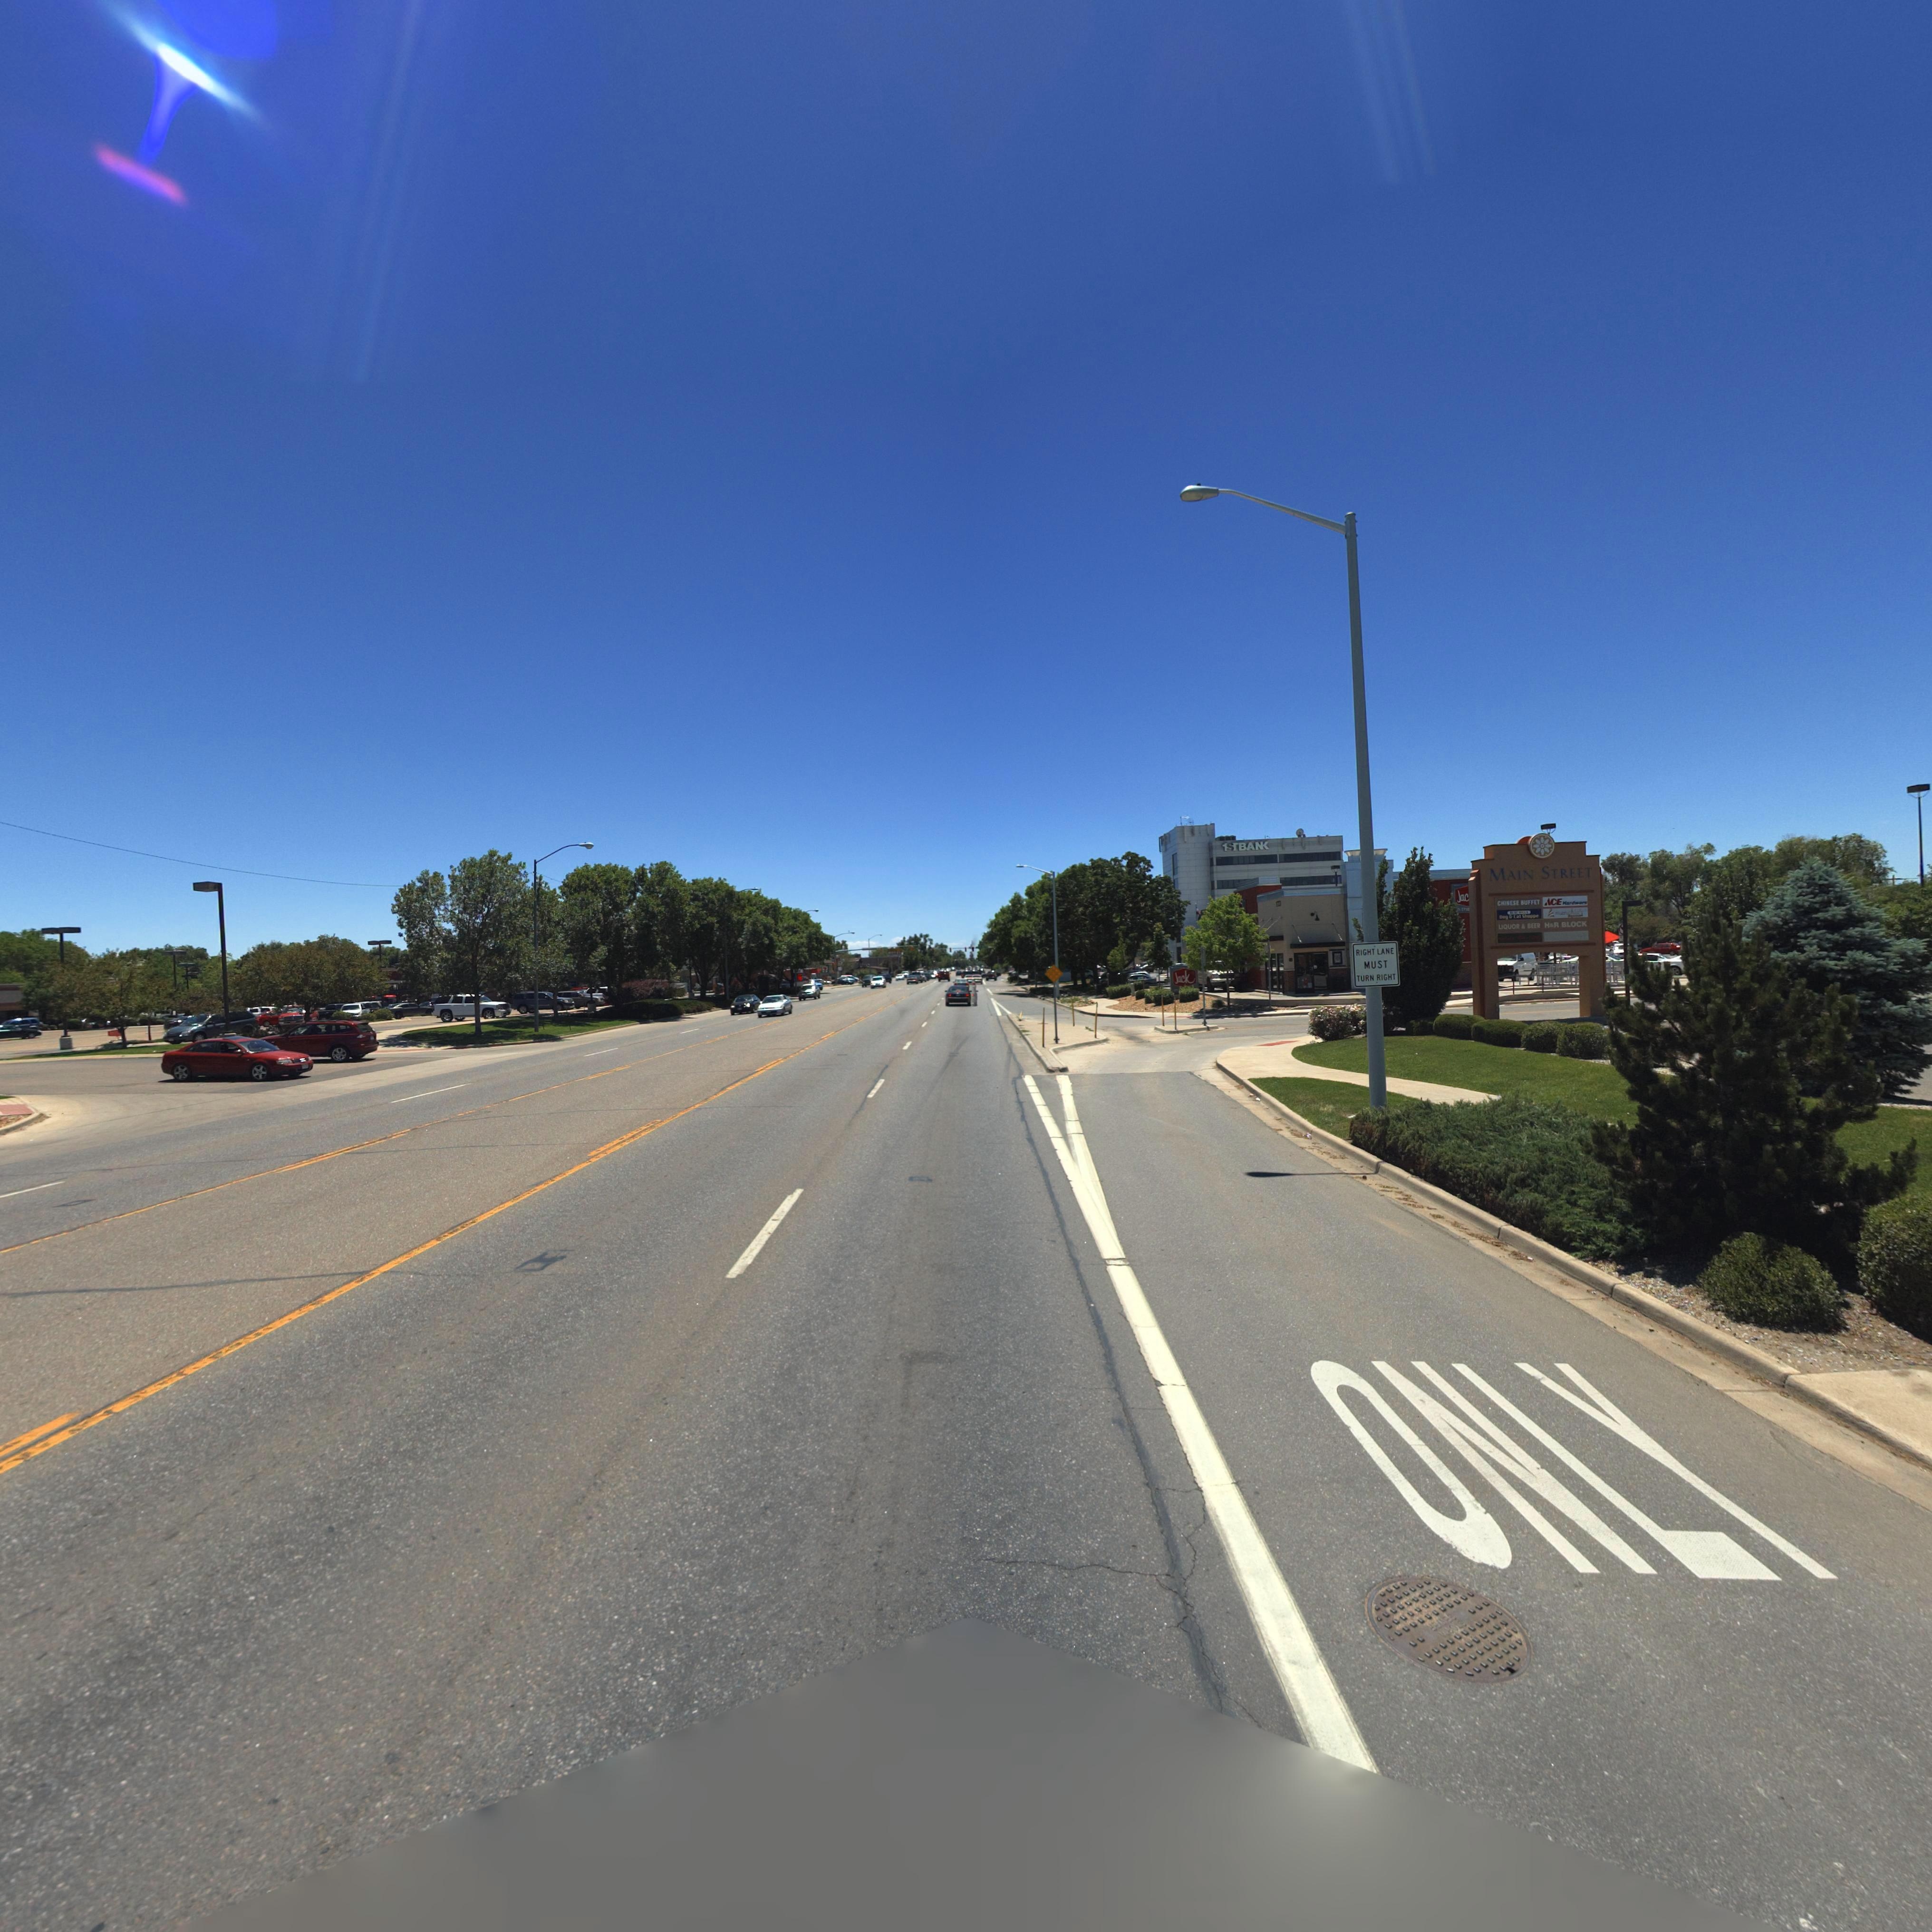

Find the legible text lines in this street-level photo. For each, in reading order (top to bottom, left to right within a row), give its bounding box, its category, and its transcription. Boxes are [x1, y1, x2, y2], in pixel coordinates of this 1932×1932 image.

[1222, 840, 1270, 852] BusinessName: 1S* BA*K
[1456, 889, 1469, 903] BusinessName: Jac
[1497, 899, 1540, 907] BusinessName: CHINESE BUFFET
[1544, 898, 1563, 906] BusinessName: ACE
[1562, 900, 1587, 905] BusinessName: Hardware
[1555, 908, 1583, 916] BusinessName: menchie's
[1498, 913, 1539, 920] BusinessName: Dog & Cat Shoppe
[1544, 920, 1587, 928] BusinessName: H&R BLOCK
[822, 967, 827, 972] BusinessName: 7
[1174, 970, 1195, 984] BusinessName: Jack